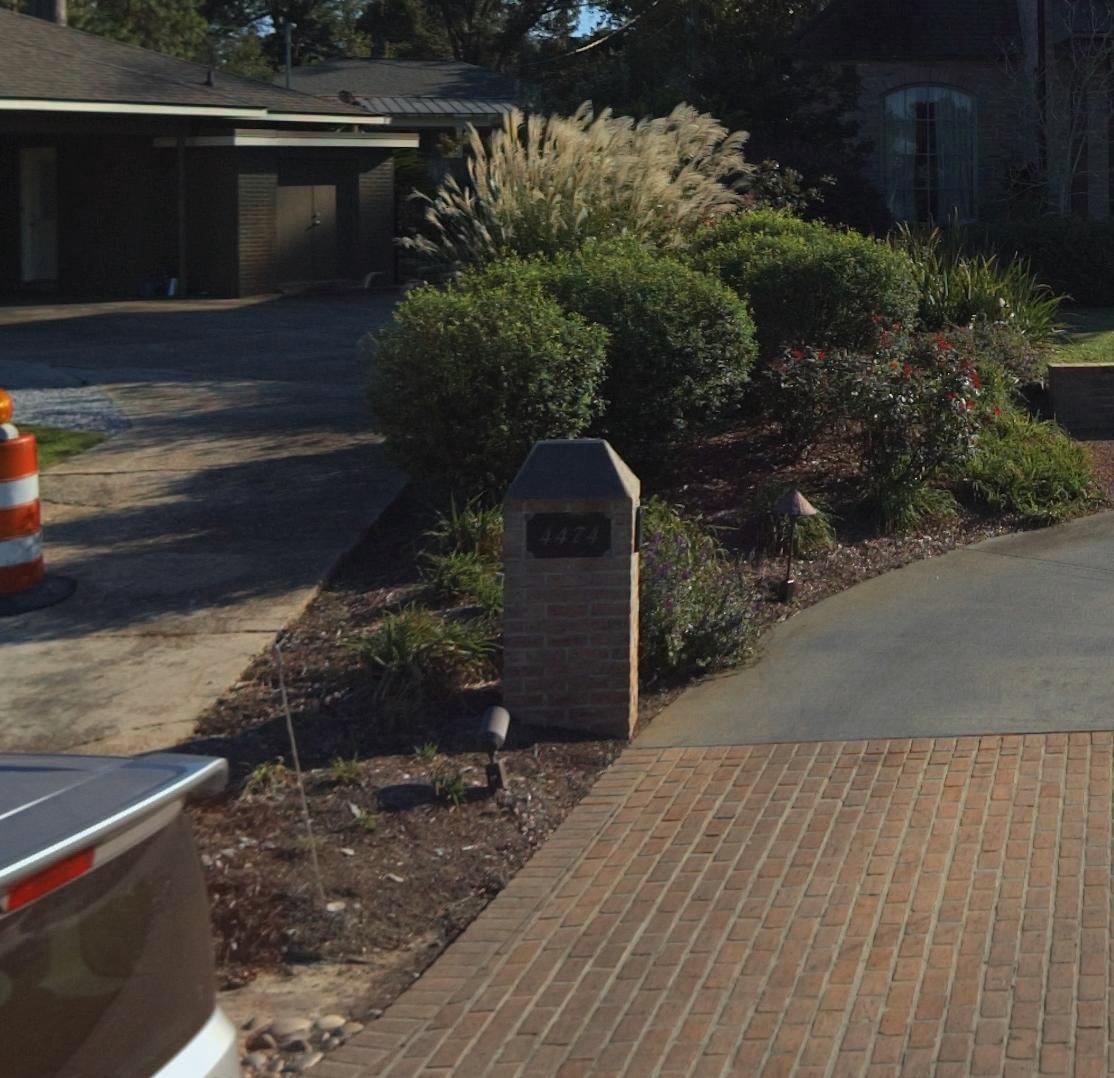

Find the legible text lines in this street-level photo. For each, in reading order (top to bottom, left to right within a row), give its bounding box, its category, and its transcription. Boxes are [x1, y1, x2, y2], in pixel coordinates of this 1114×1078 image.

[535, 523, 603, 548] StreetNumber: 4474